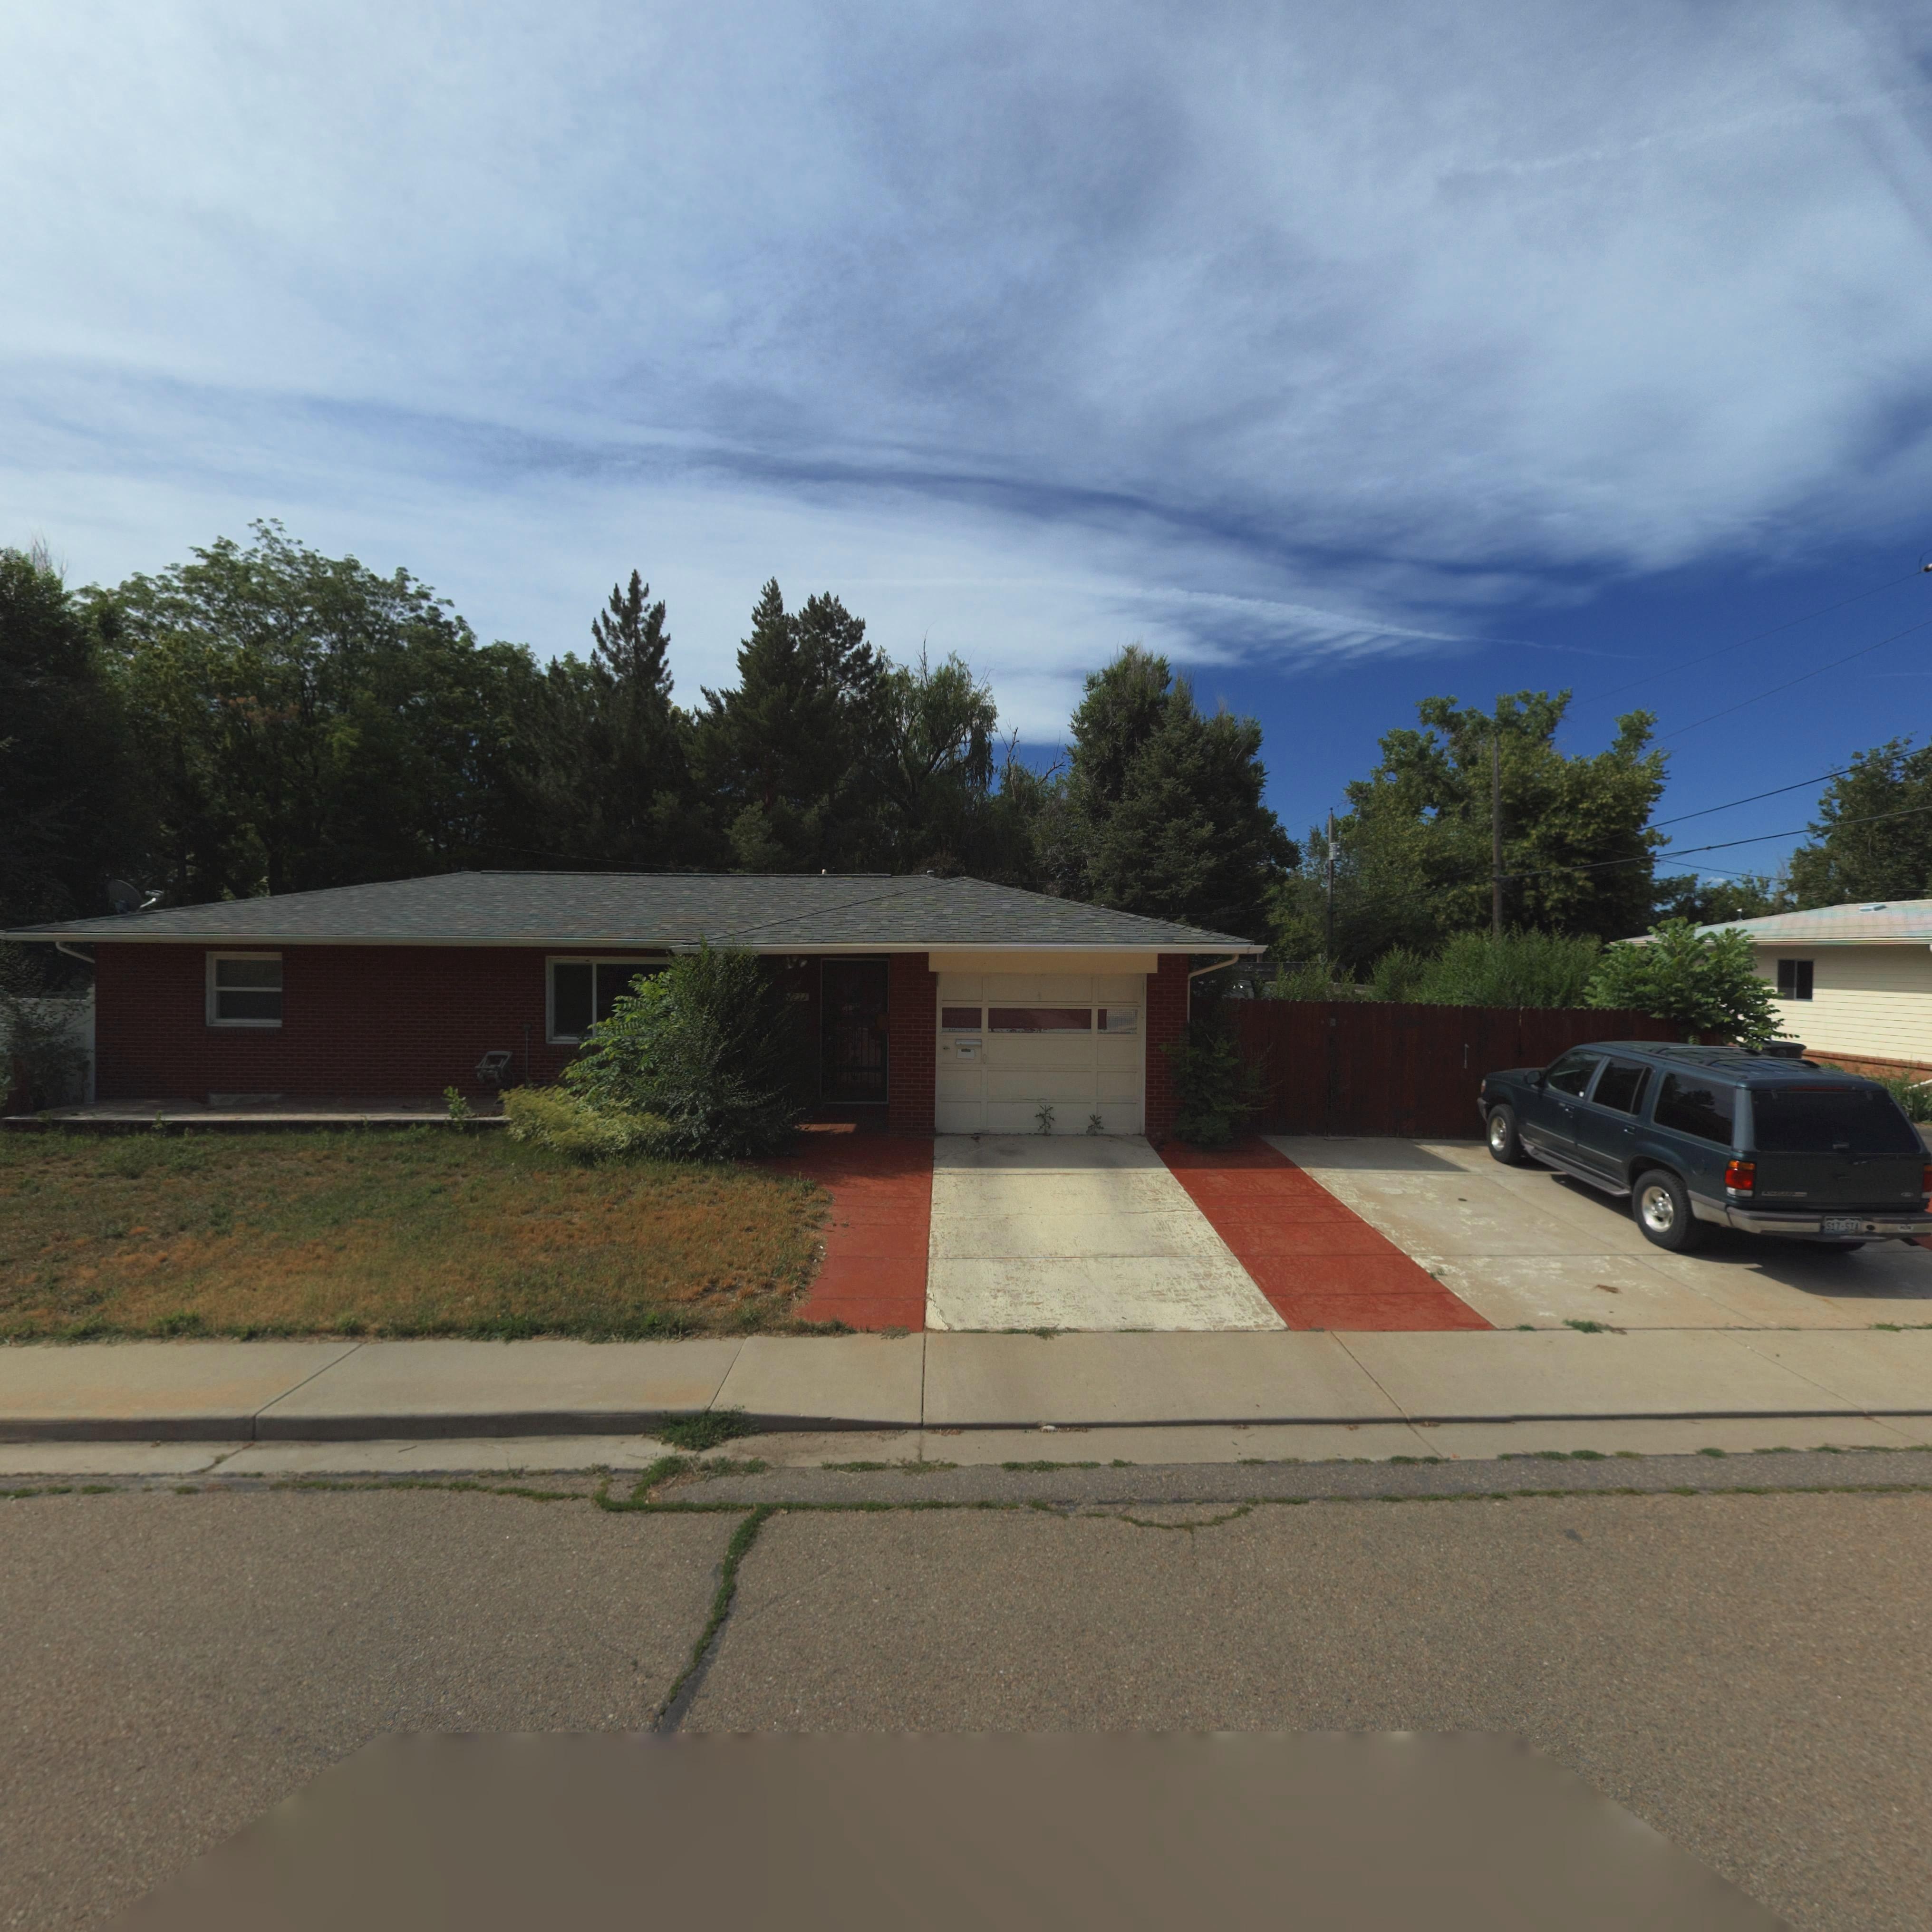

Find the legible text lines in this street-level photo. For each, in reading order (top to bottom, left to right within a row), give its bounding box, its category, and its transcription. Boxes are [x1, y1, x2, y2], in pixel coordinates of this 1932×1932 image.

[790, 993, 808, 1001] StreetNumber: 2**